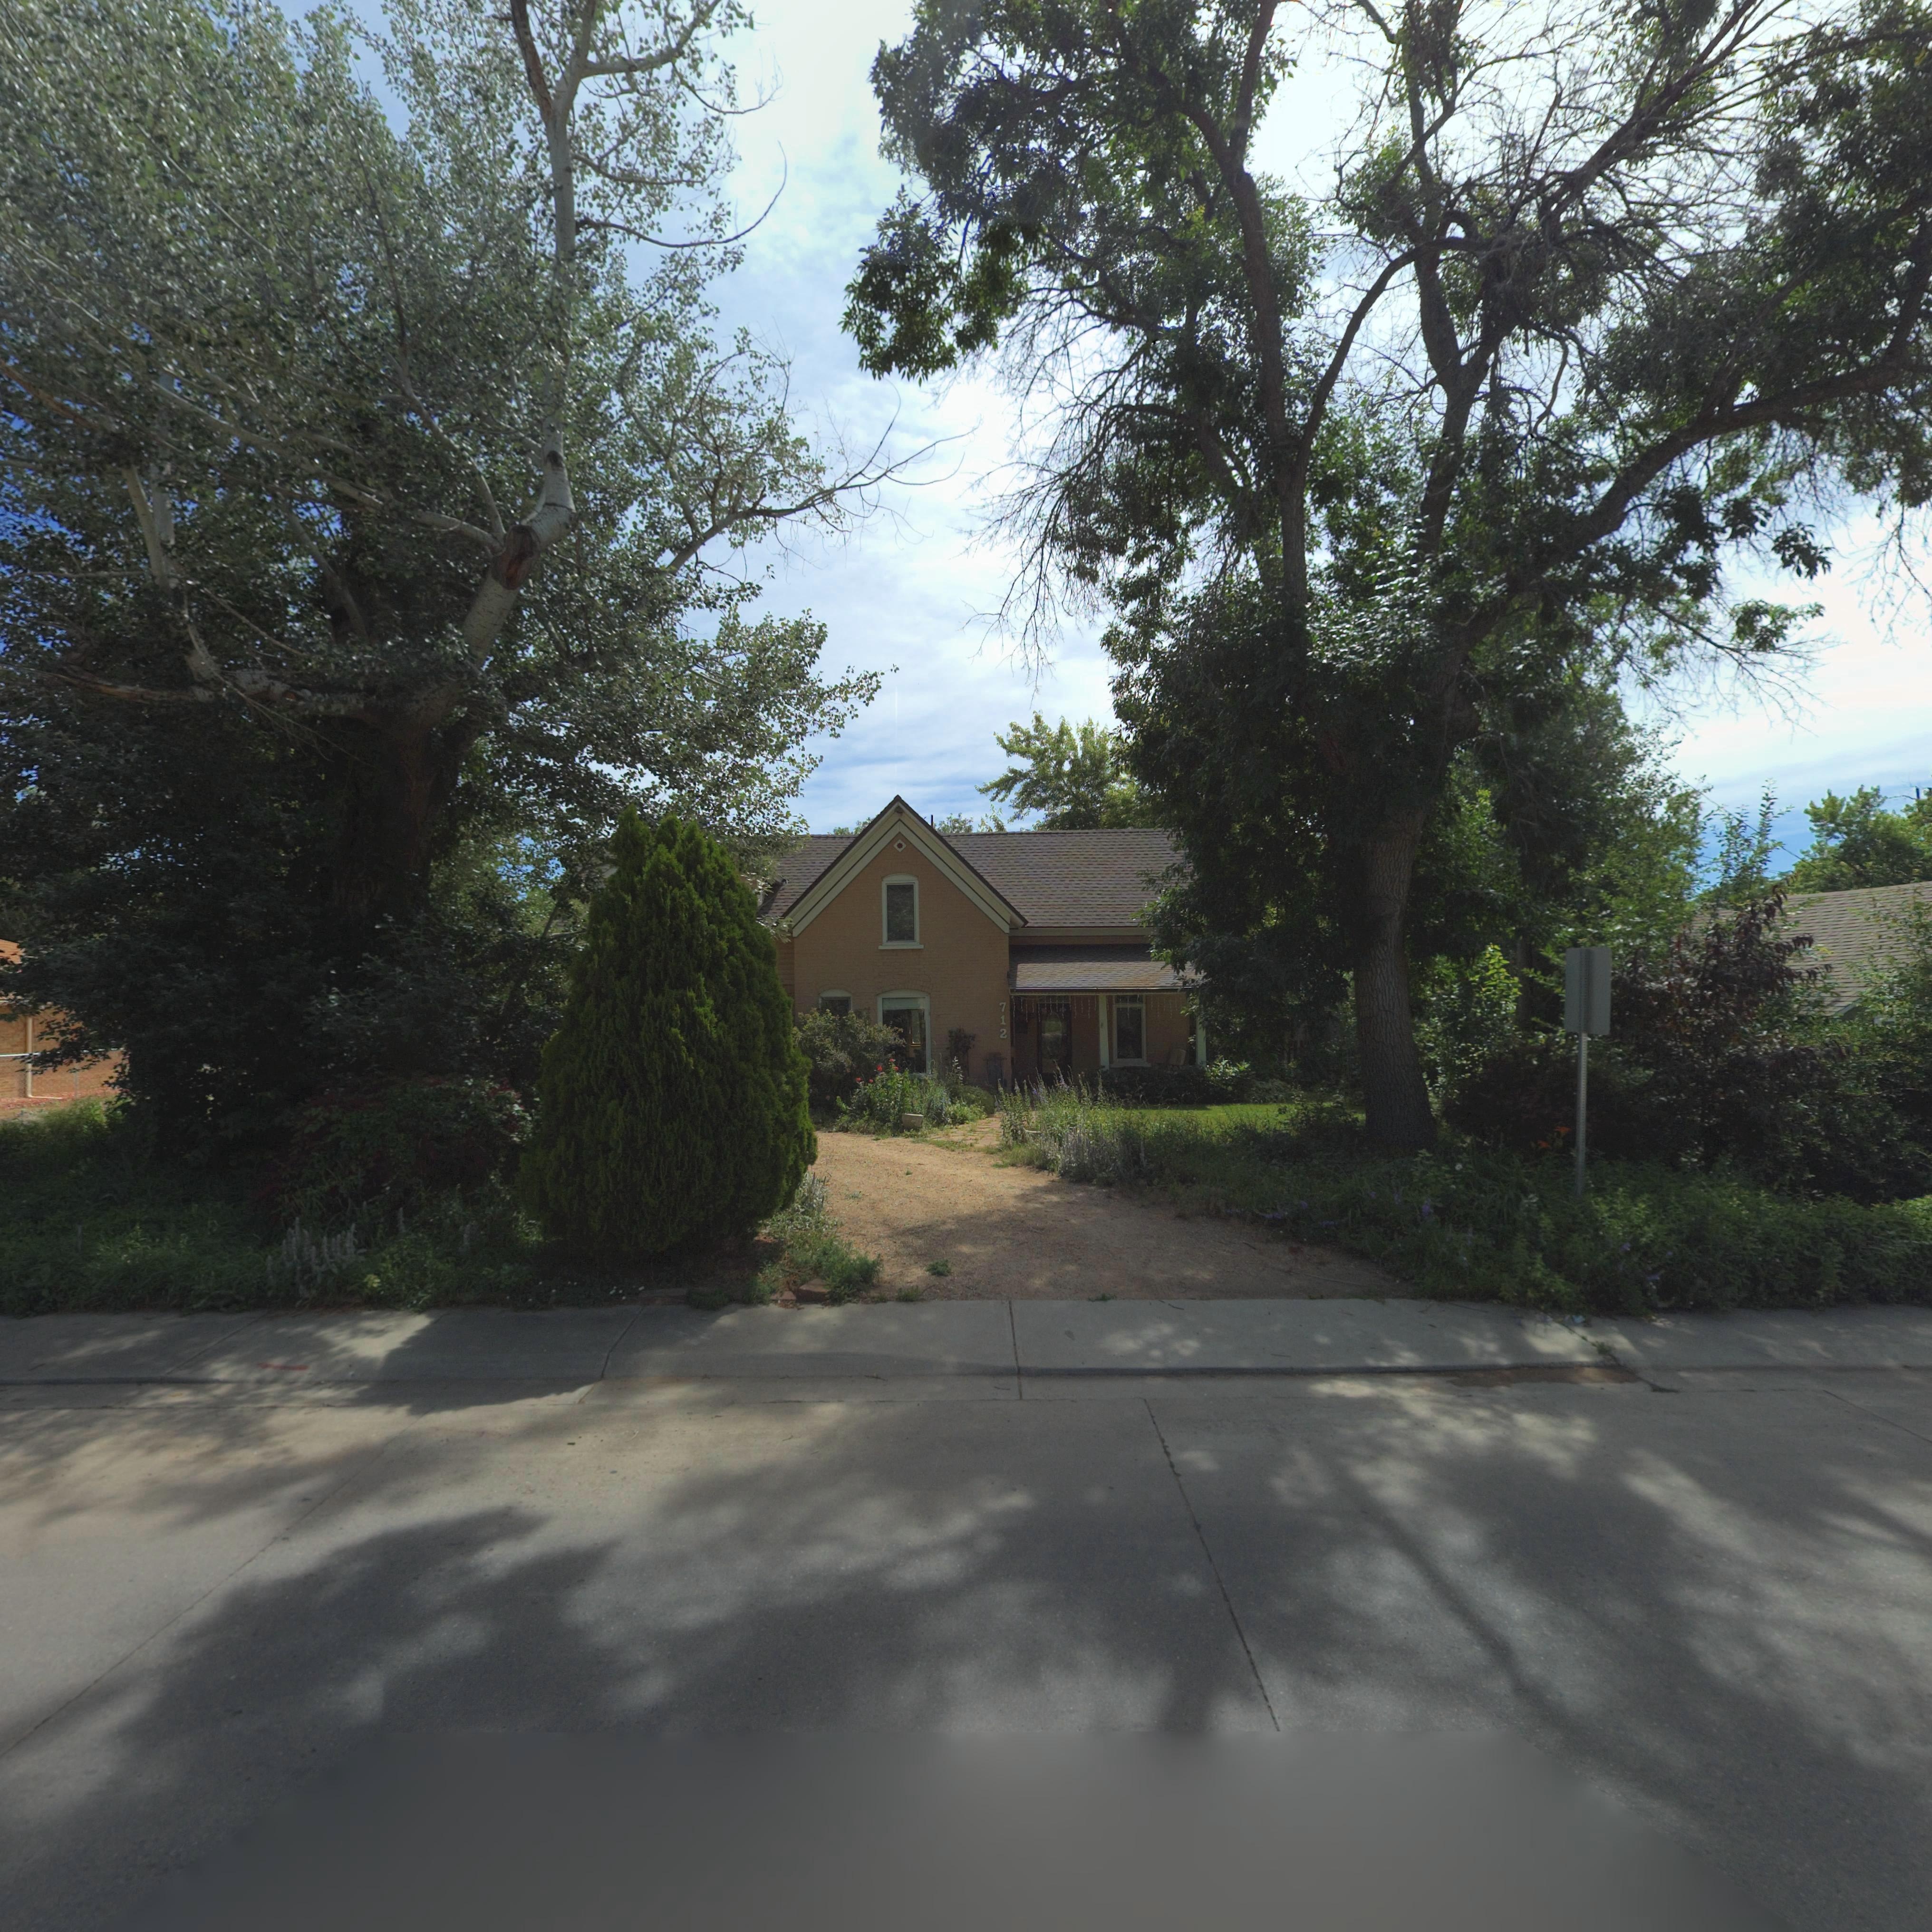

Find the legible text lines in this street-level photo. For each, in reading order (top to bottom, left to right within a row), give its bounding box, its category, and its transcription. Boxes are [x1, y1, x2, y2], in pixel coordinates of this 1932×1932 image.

[999, 1002, 1007, 1038] StreetNumber: 712